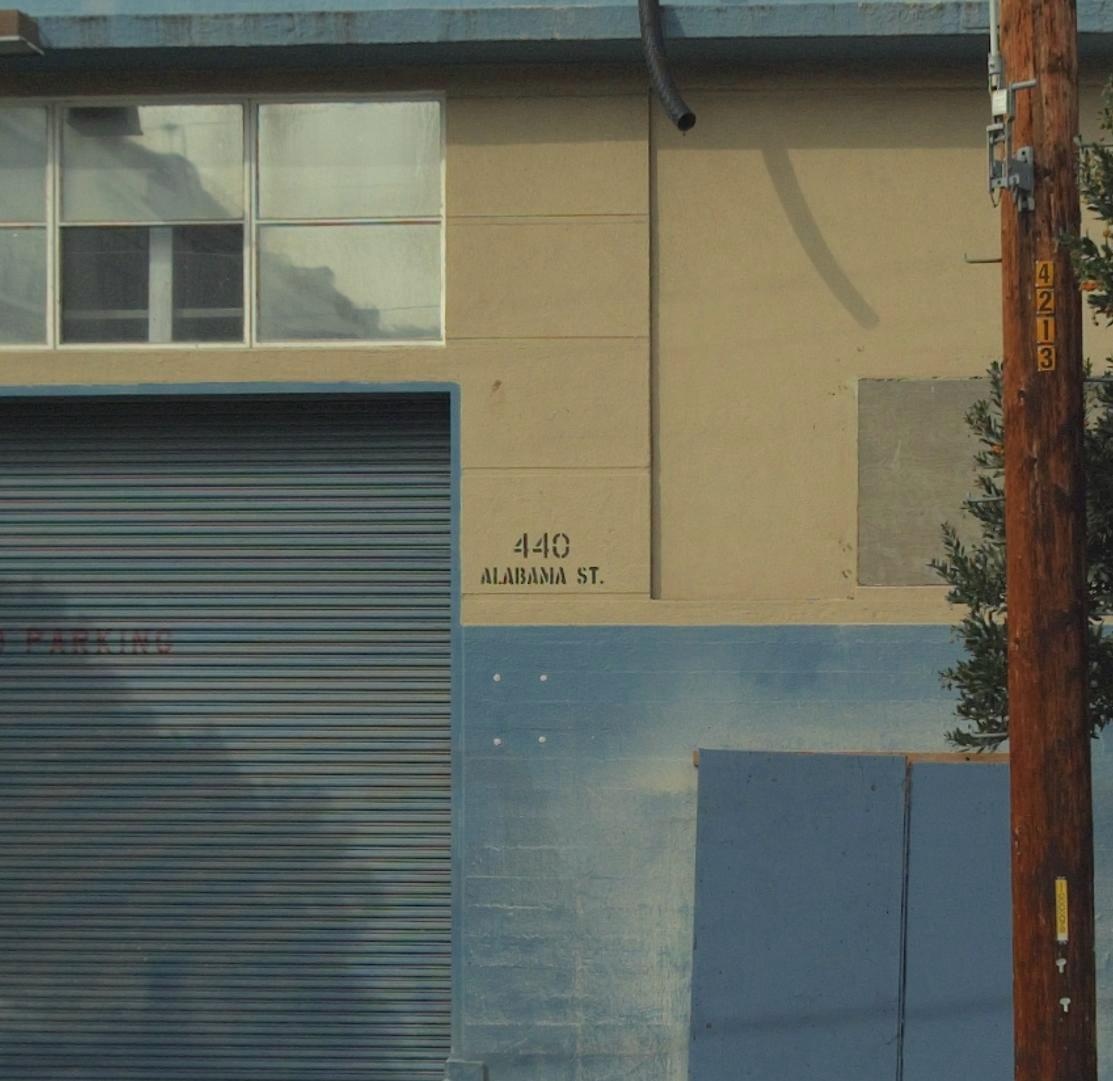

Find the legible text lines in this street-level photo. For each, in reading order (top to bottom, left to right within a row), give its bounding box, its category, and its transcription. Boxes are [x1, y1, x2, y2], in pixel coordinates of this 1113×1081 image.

[1036, 261, 1054, 371] None: 4213
[513, 530, 570, 561] StreetNumber: 440
[477, 564, 603, 586] StreetName: ALABAMA ST
[23, 624, 175, 657] None: PARKING